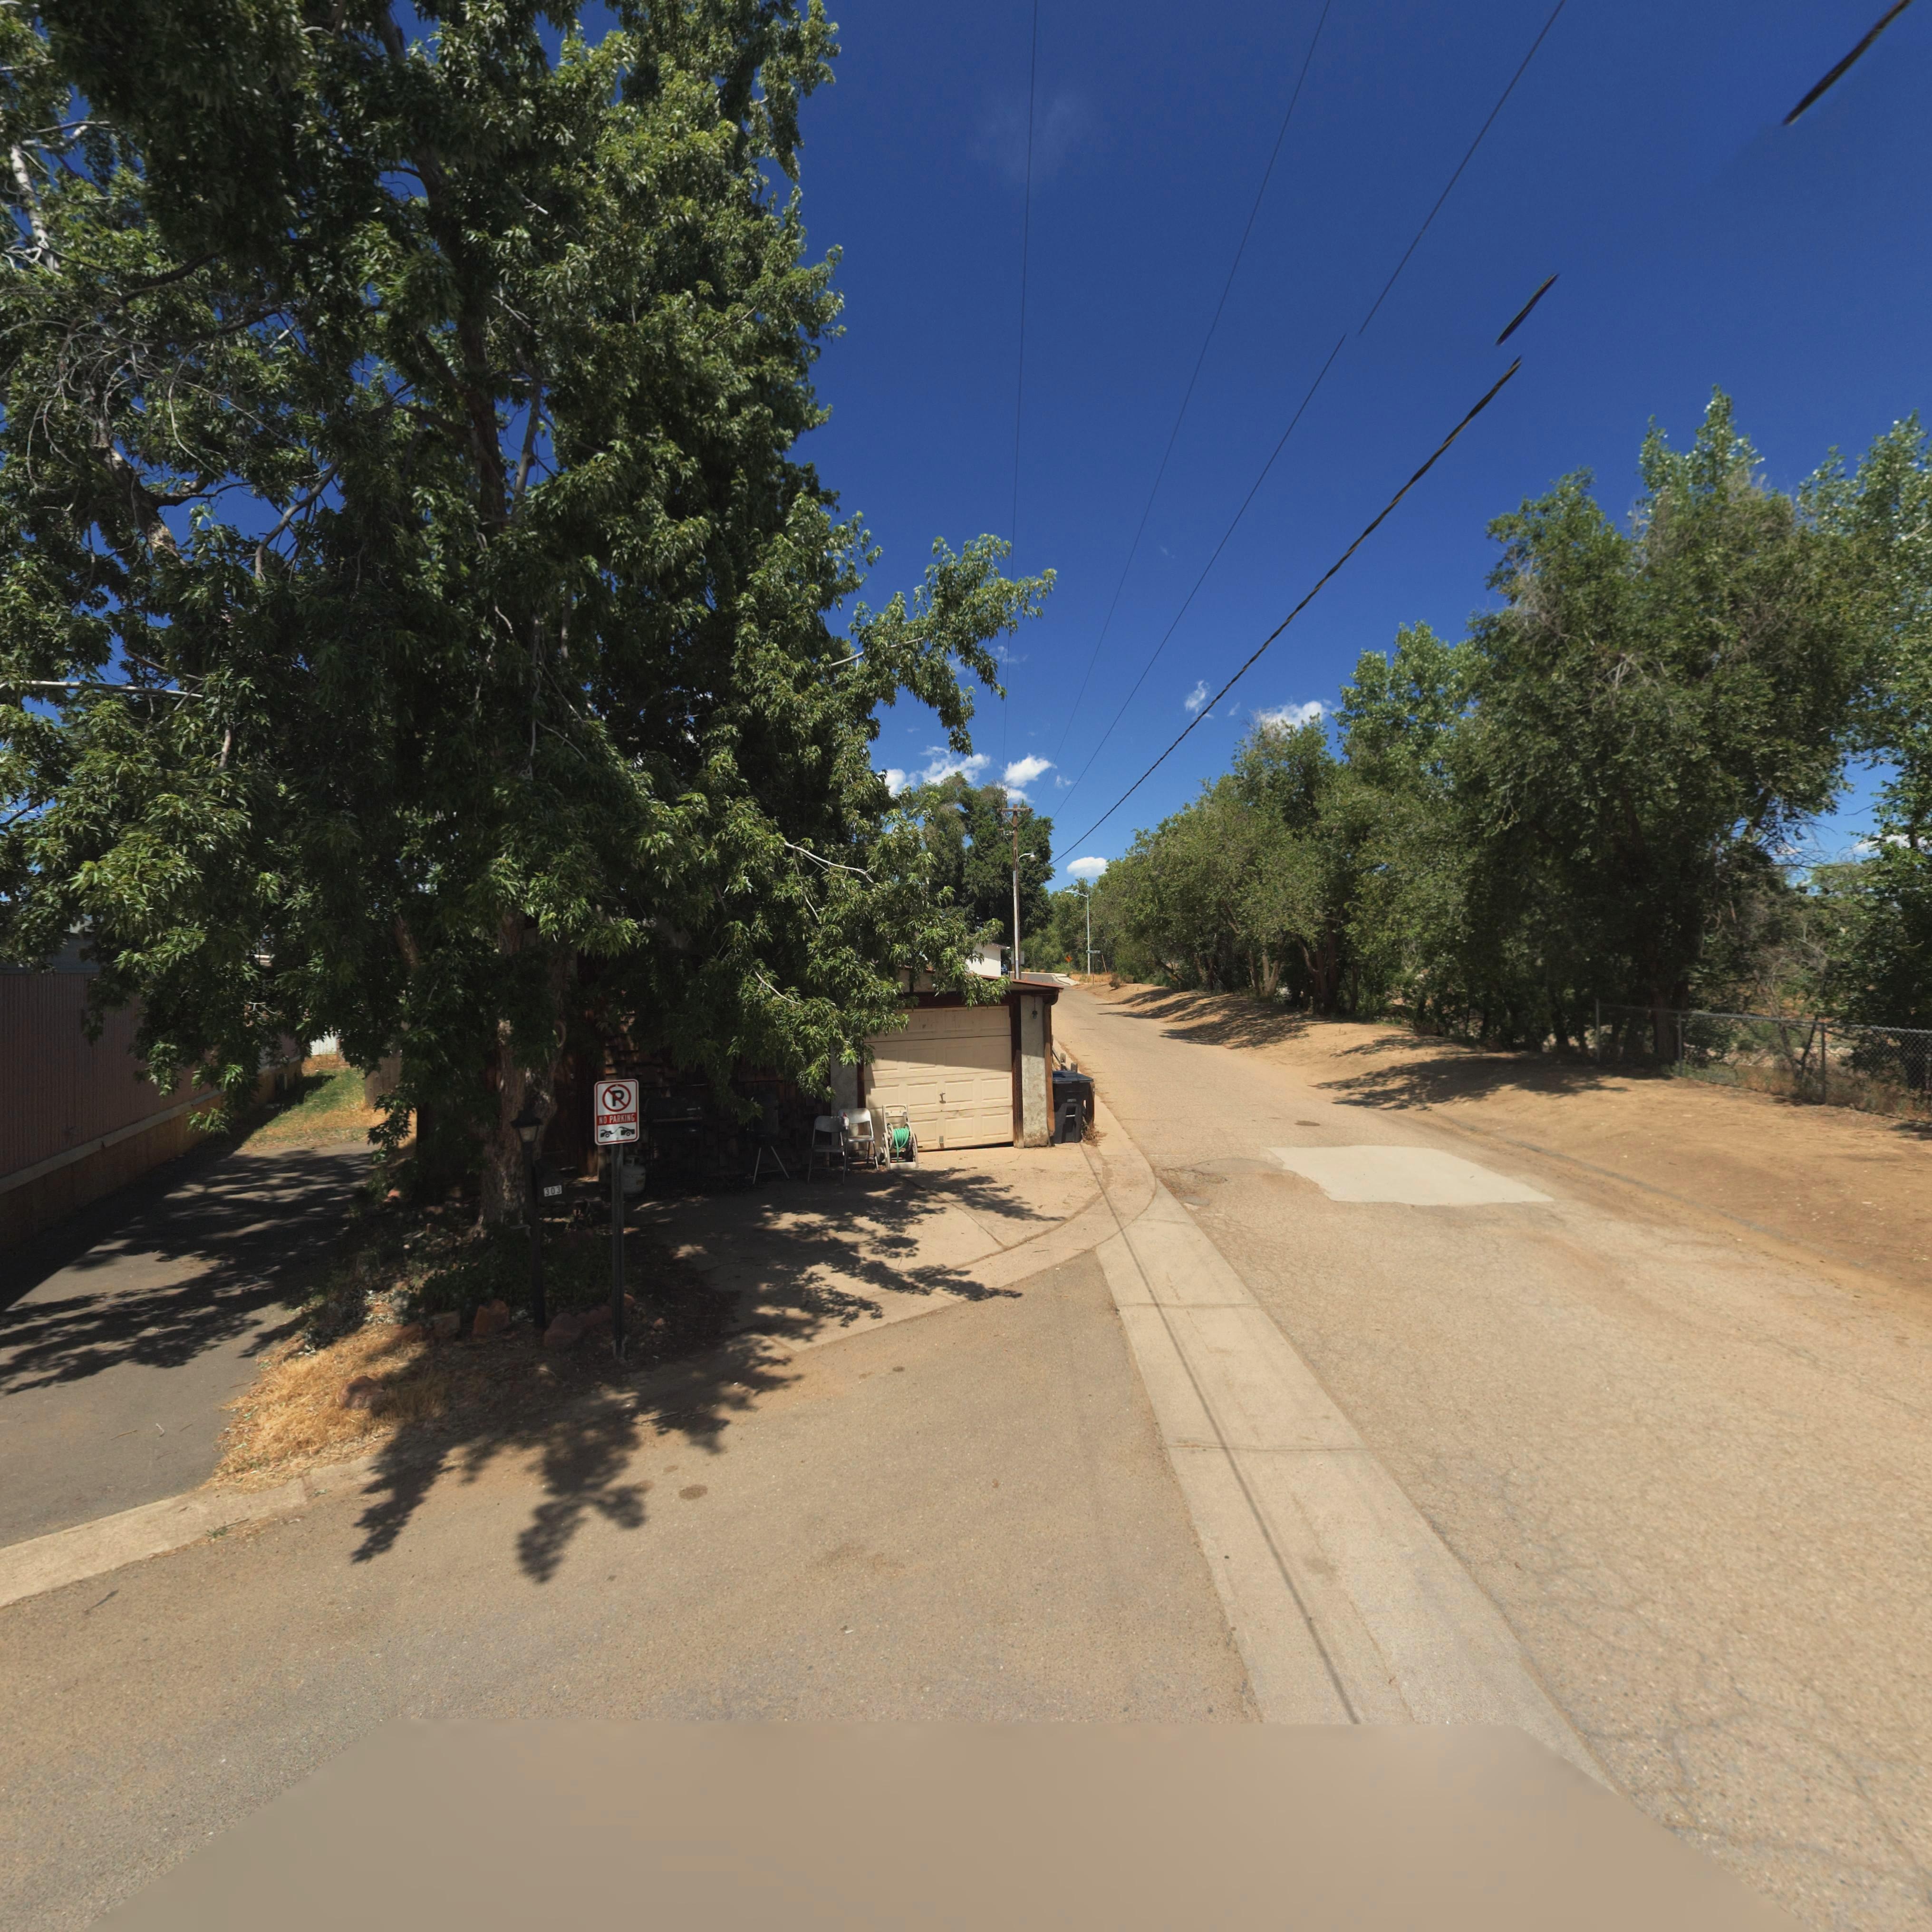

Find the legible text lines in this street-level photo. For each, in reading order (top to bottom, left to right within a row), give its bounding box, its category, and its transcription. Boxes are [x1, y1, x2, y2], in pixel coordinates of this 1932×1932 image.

[543, 1185, 562, 1196] StreetNumber: 303